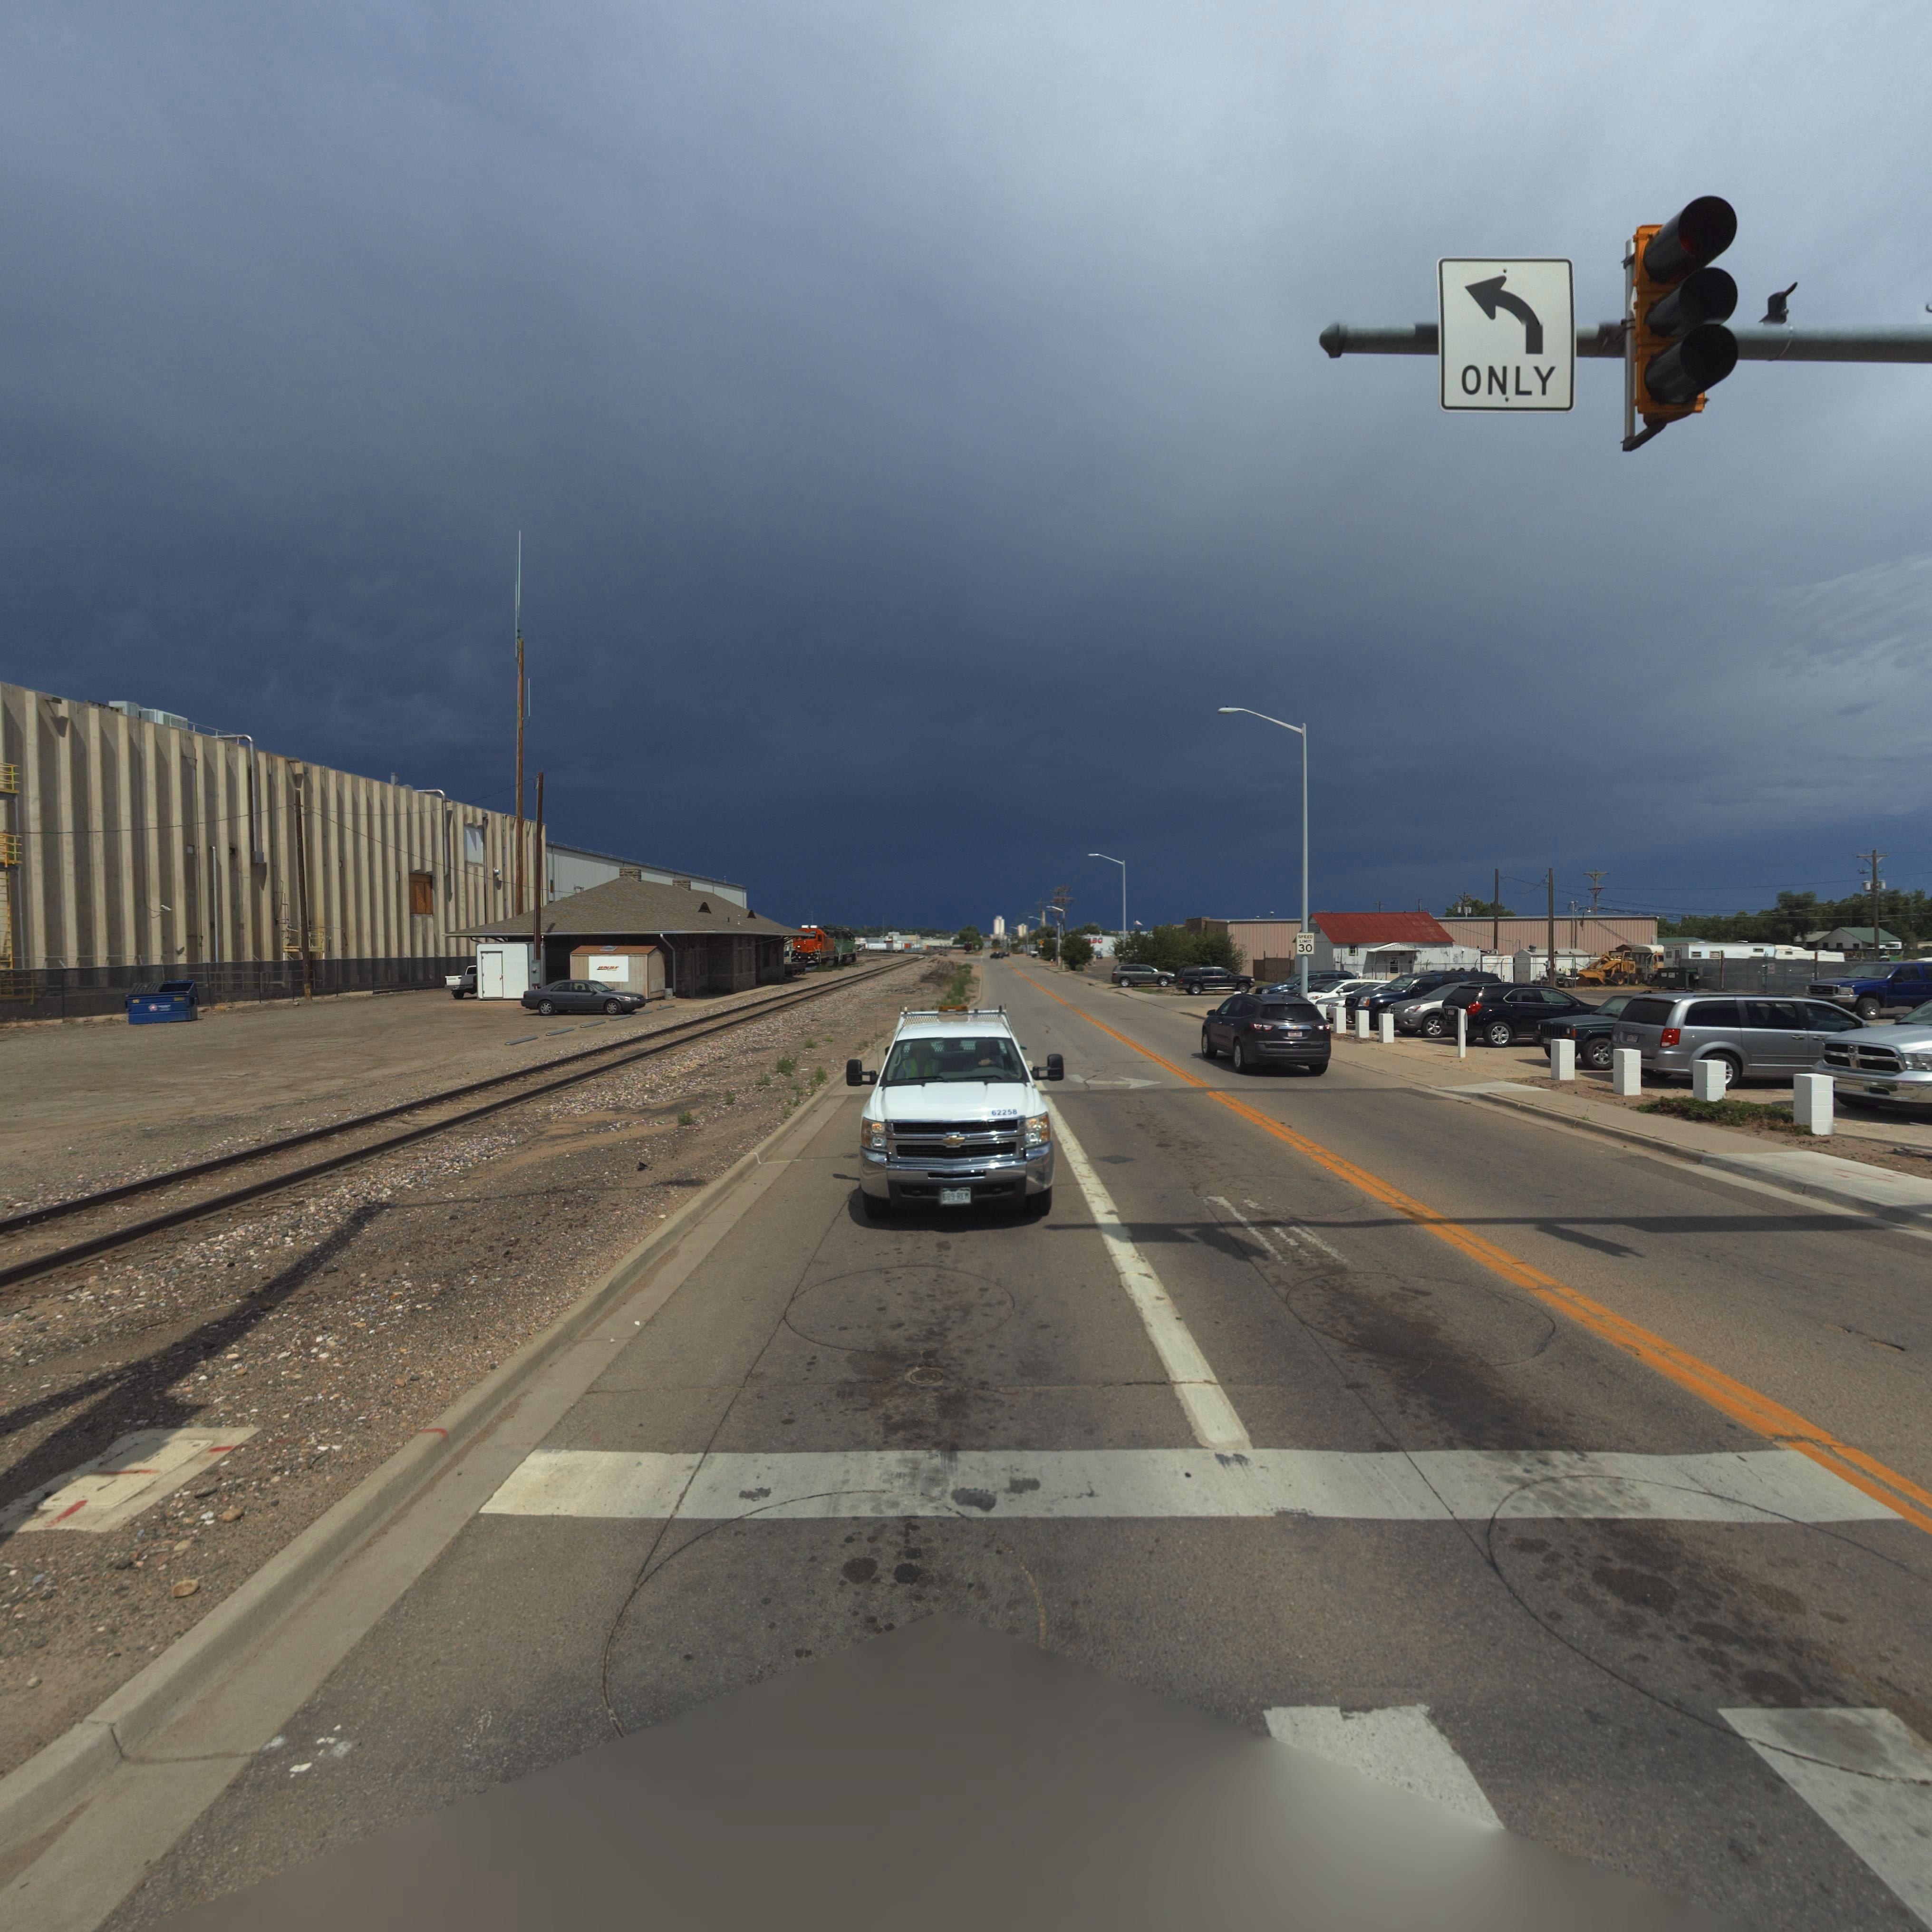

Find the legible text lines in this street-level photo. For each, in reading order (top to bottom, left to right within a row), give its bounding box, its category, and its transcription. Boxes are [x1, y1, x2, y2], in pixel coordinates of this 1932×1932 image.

[1086, 937, 1103, 944] BusinessName: ABC
[597, 965, 620, 969] BusinessName: BNNF